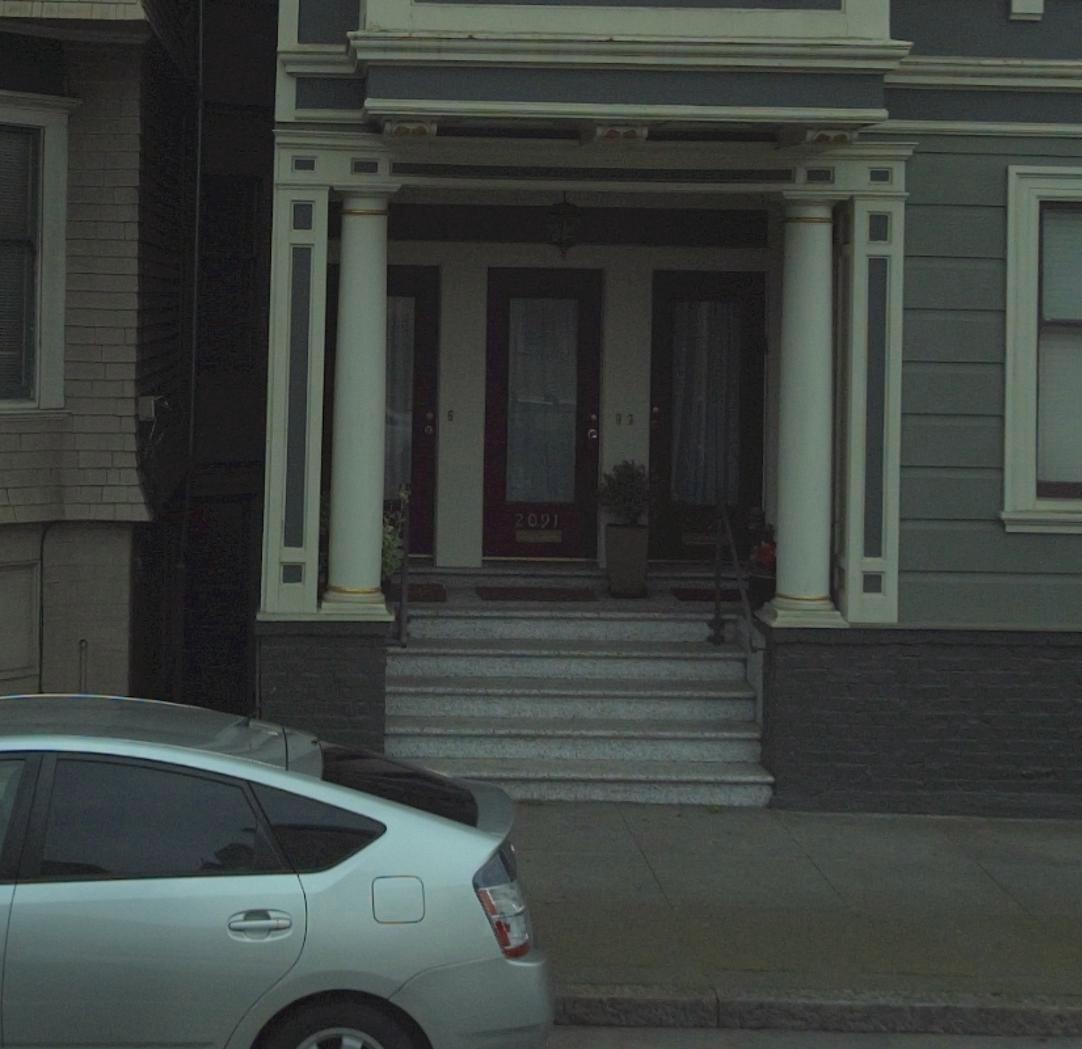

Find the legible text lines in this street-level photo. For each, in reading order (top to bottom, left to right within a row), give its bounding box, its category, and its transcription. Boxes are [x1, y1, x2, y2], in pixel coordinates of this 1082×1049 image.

[512, 512, 560, 530] StreetNumber: 2091